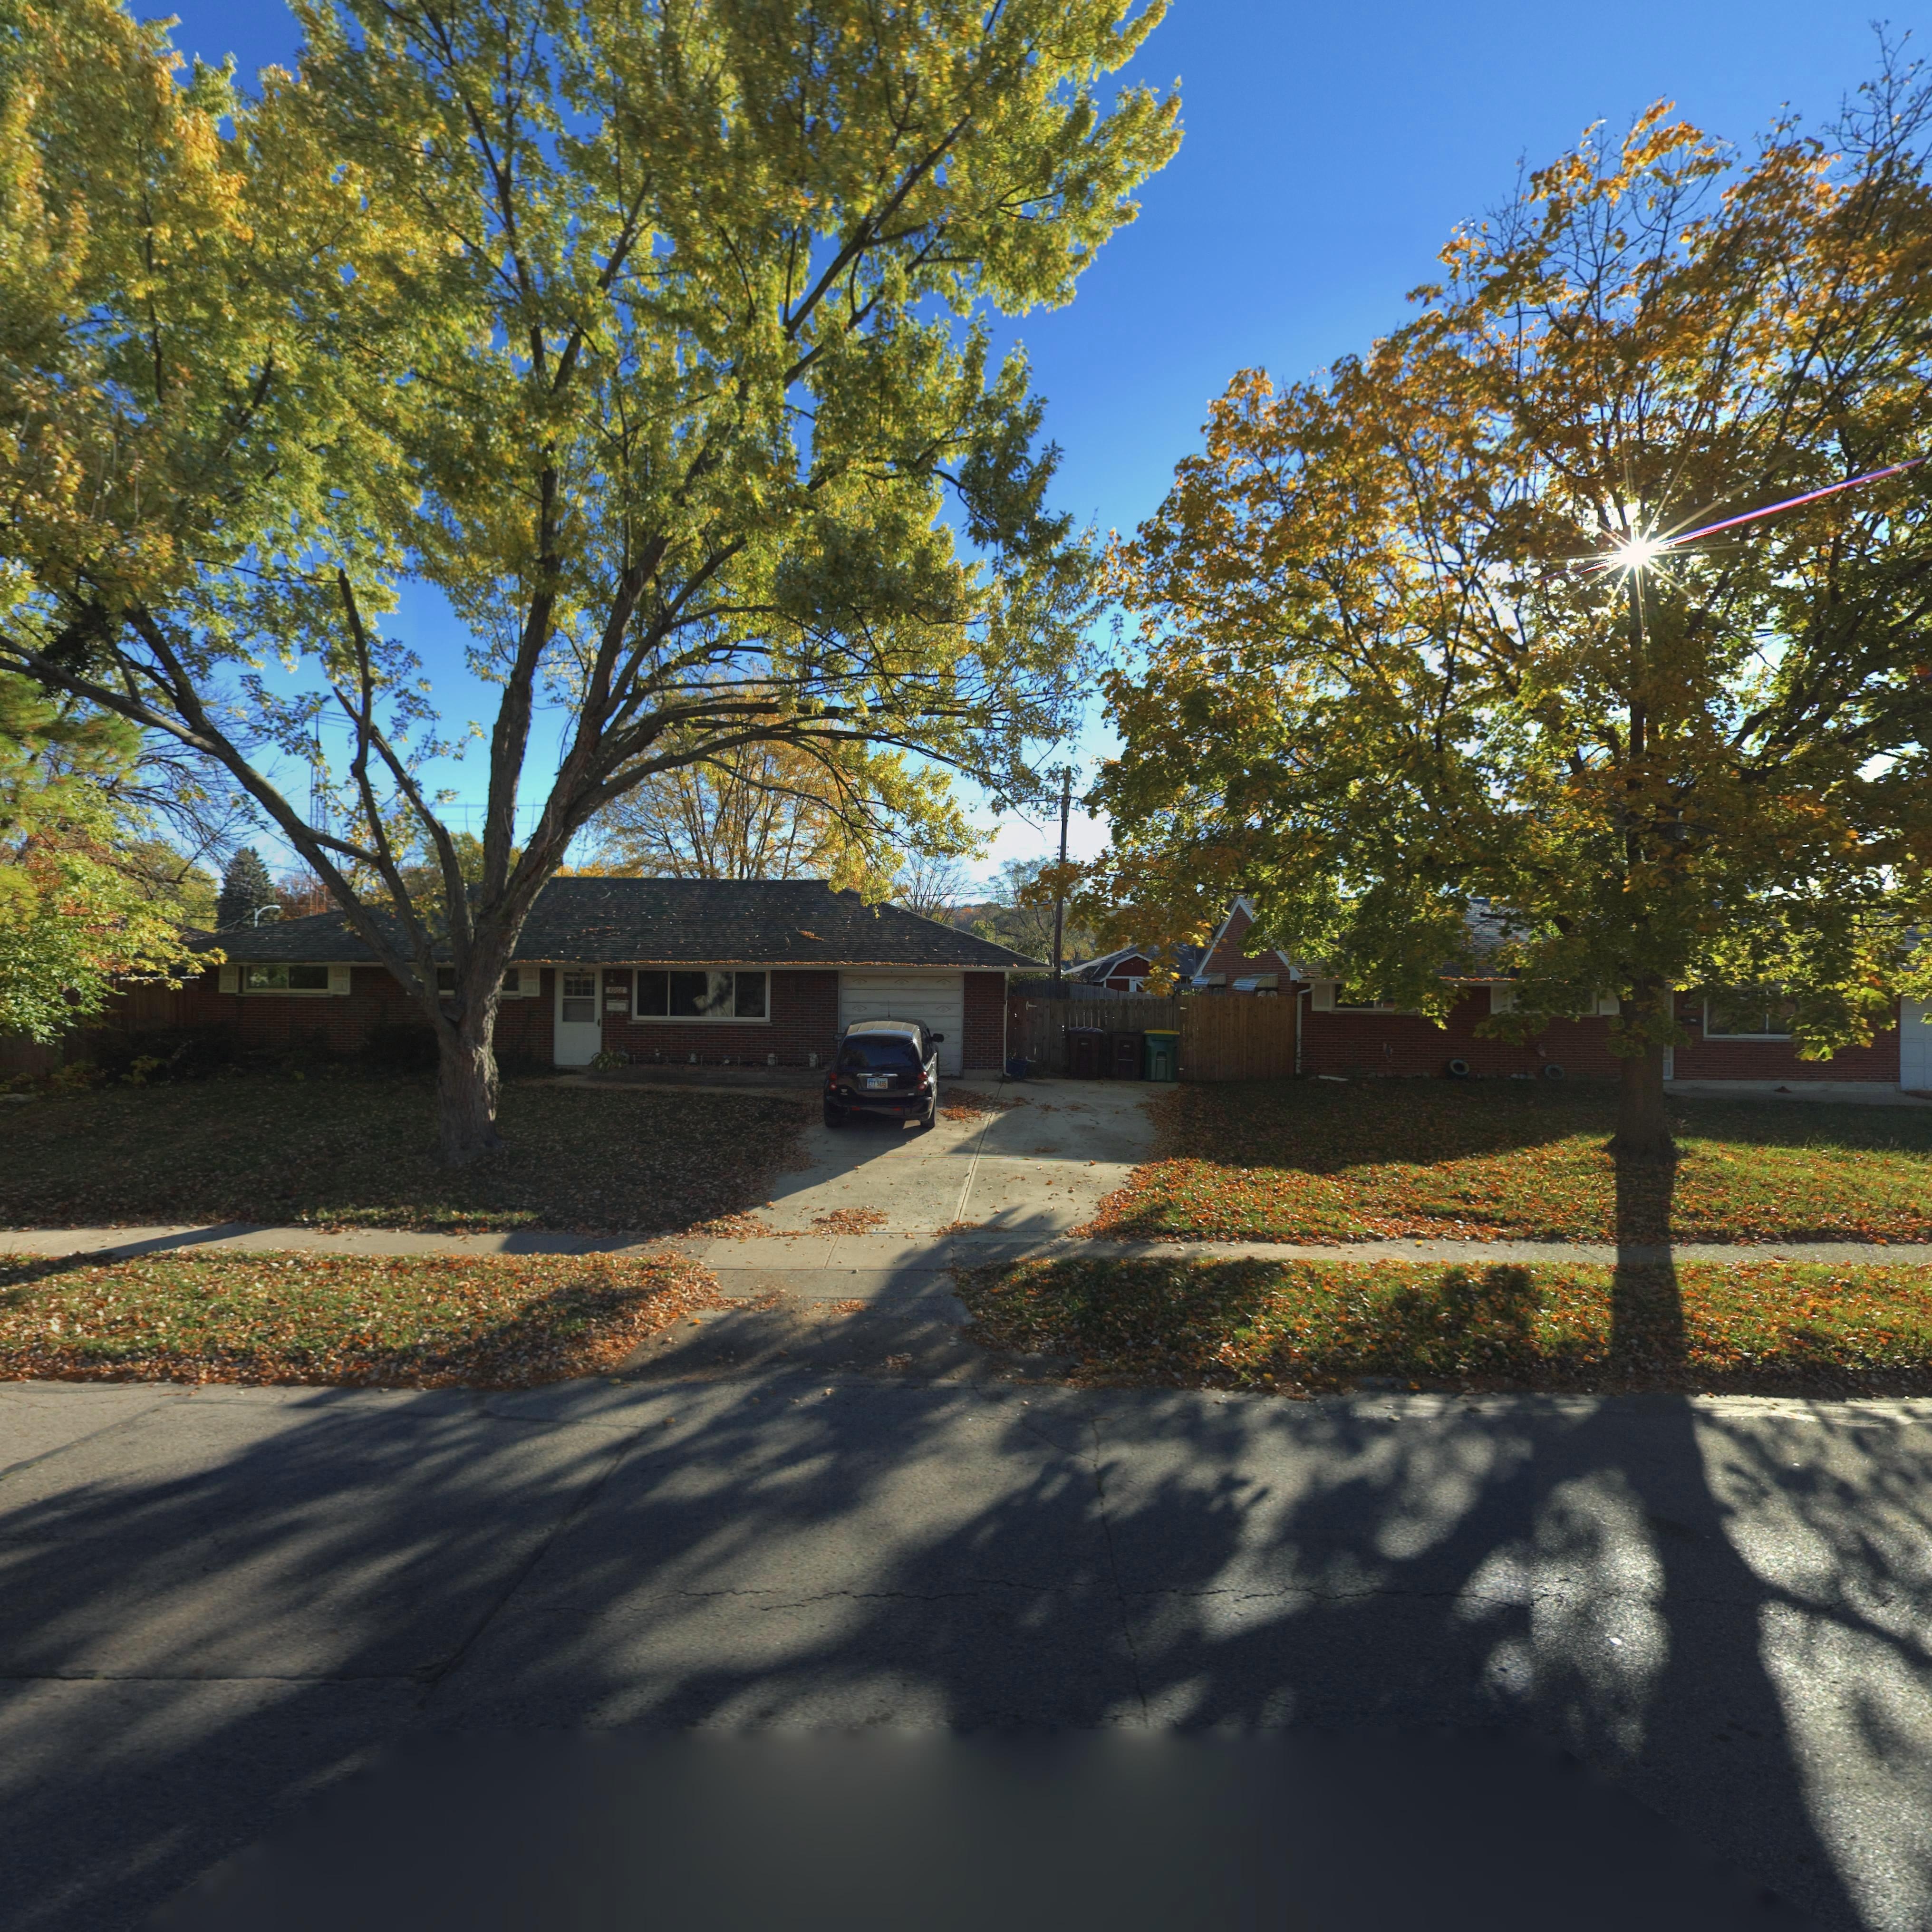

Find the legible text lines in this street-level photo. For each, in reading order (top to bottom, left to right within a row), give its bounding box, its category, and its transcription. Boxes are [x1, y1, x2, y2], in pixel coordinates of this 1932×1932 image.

[608, 986, 624, 993] StreetNumber: 4968